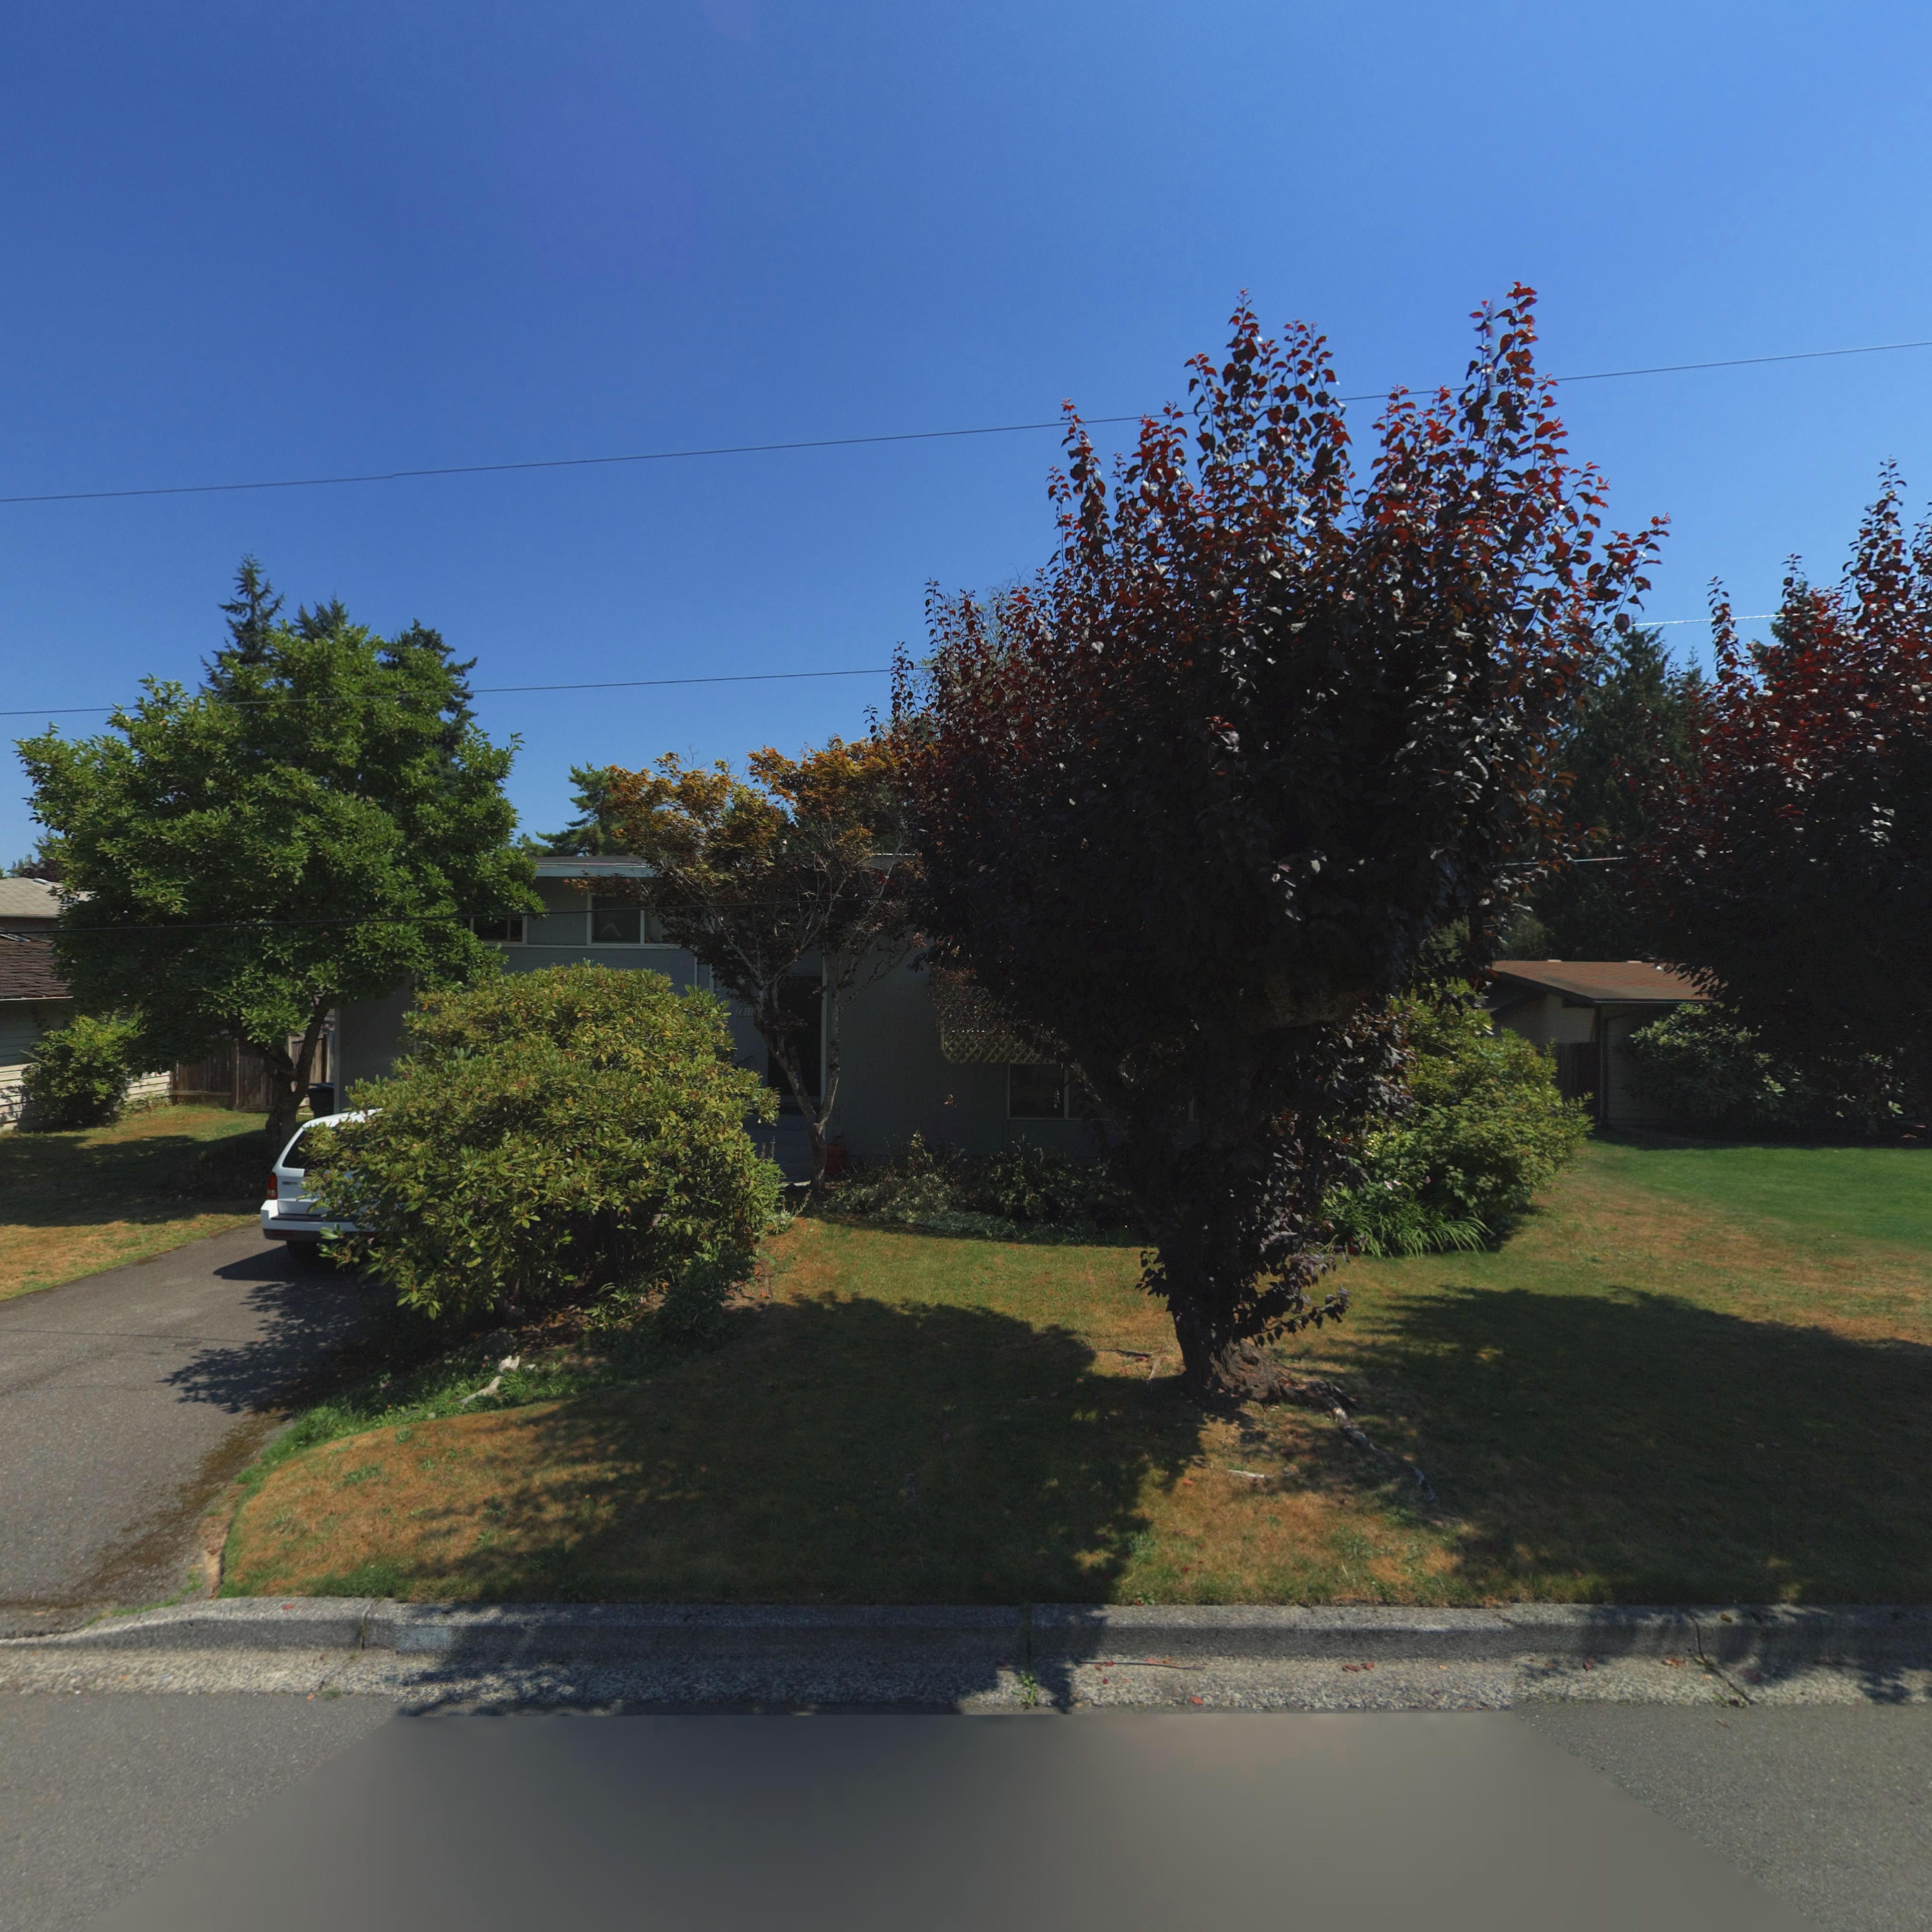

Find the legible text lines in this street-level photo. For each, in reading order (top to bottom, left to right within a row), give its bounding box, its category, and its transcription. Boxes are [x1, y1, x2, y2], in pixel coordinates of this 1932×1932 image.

[735, 1007, 755, 1015] StreetNumber: 2210